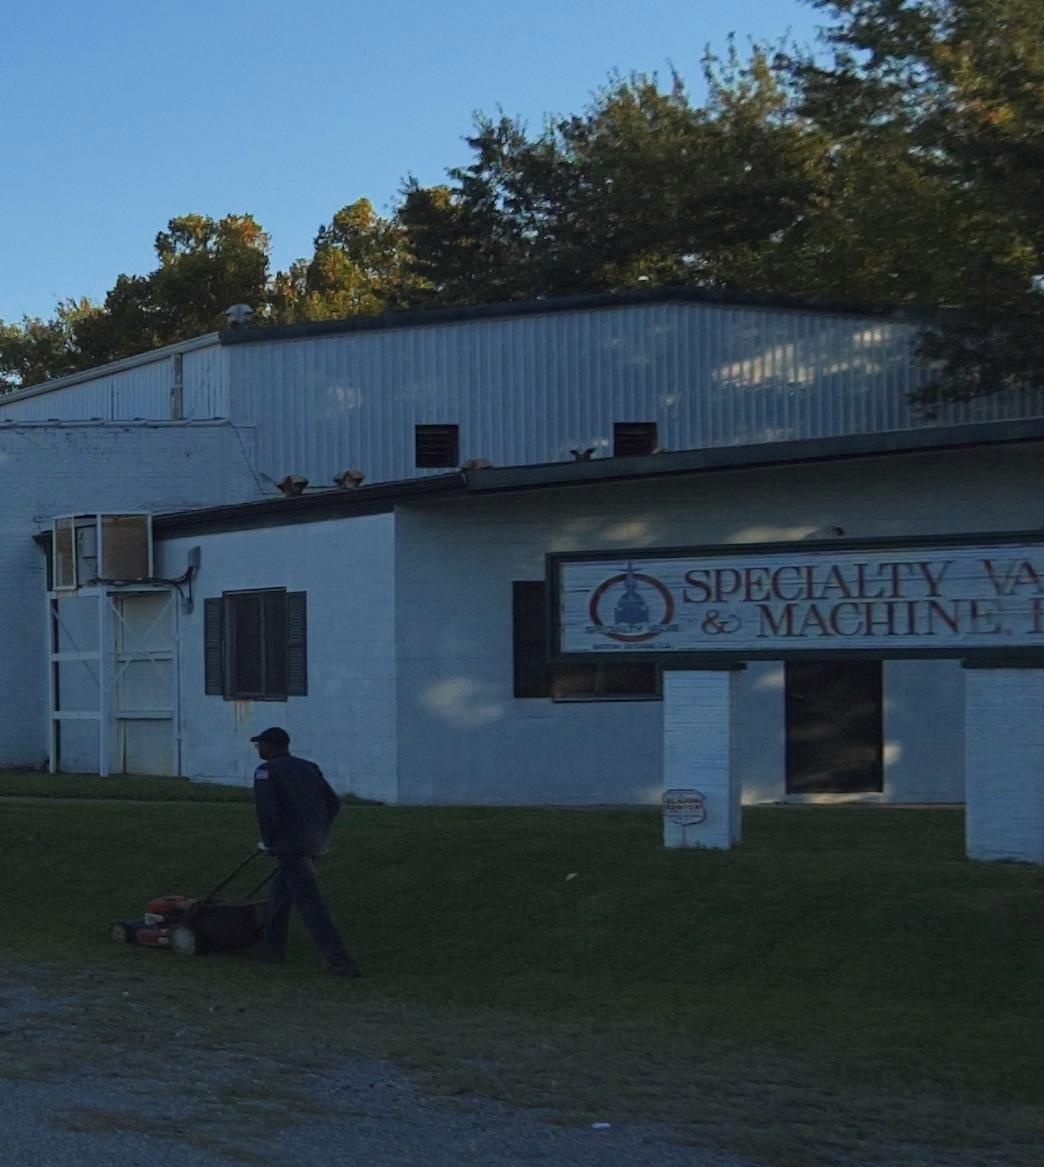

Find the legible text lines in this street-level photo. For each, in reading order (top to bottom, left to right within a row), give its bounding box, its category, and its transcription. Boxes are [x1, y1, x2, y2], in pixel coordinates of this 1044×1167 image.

[680, 555, 1044, 606] BusinessName: SPECIALTY VA
[752, 595, 1017, 641] BusinessName: MACHINE.